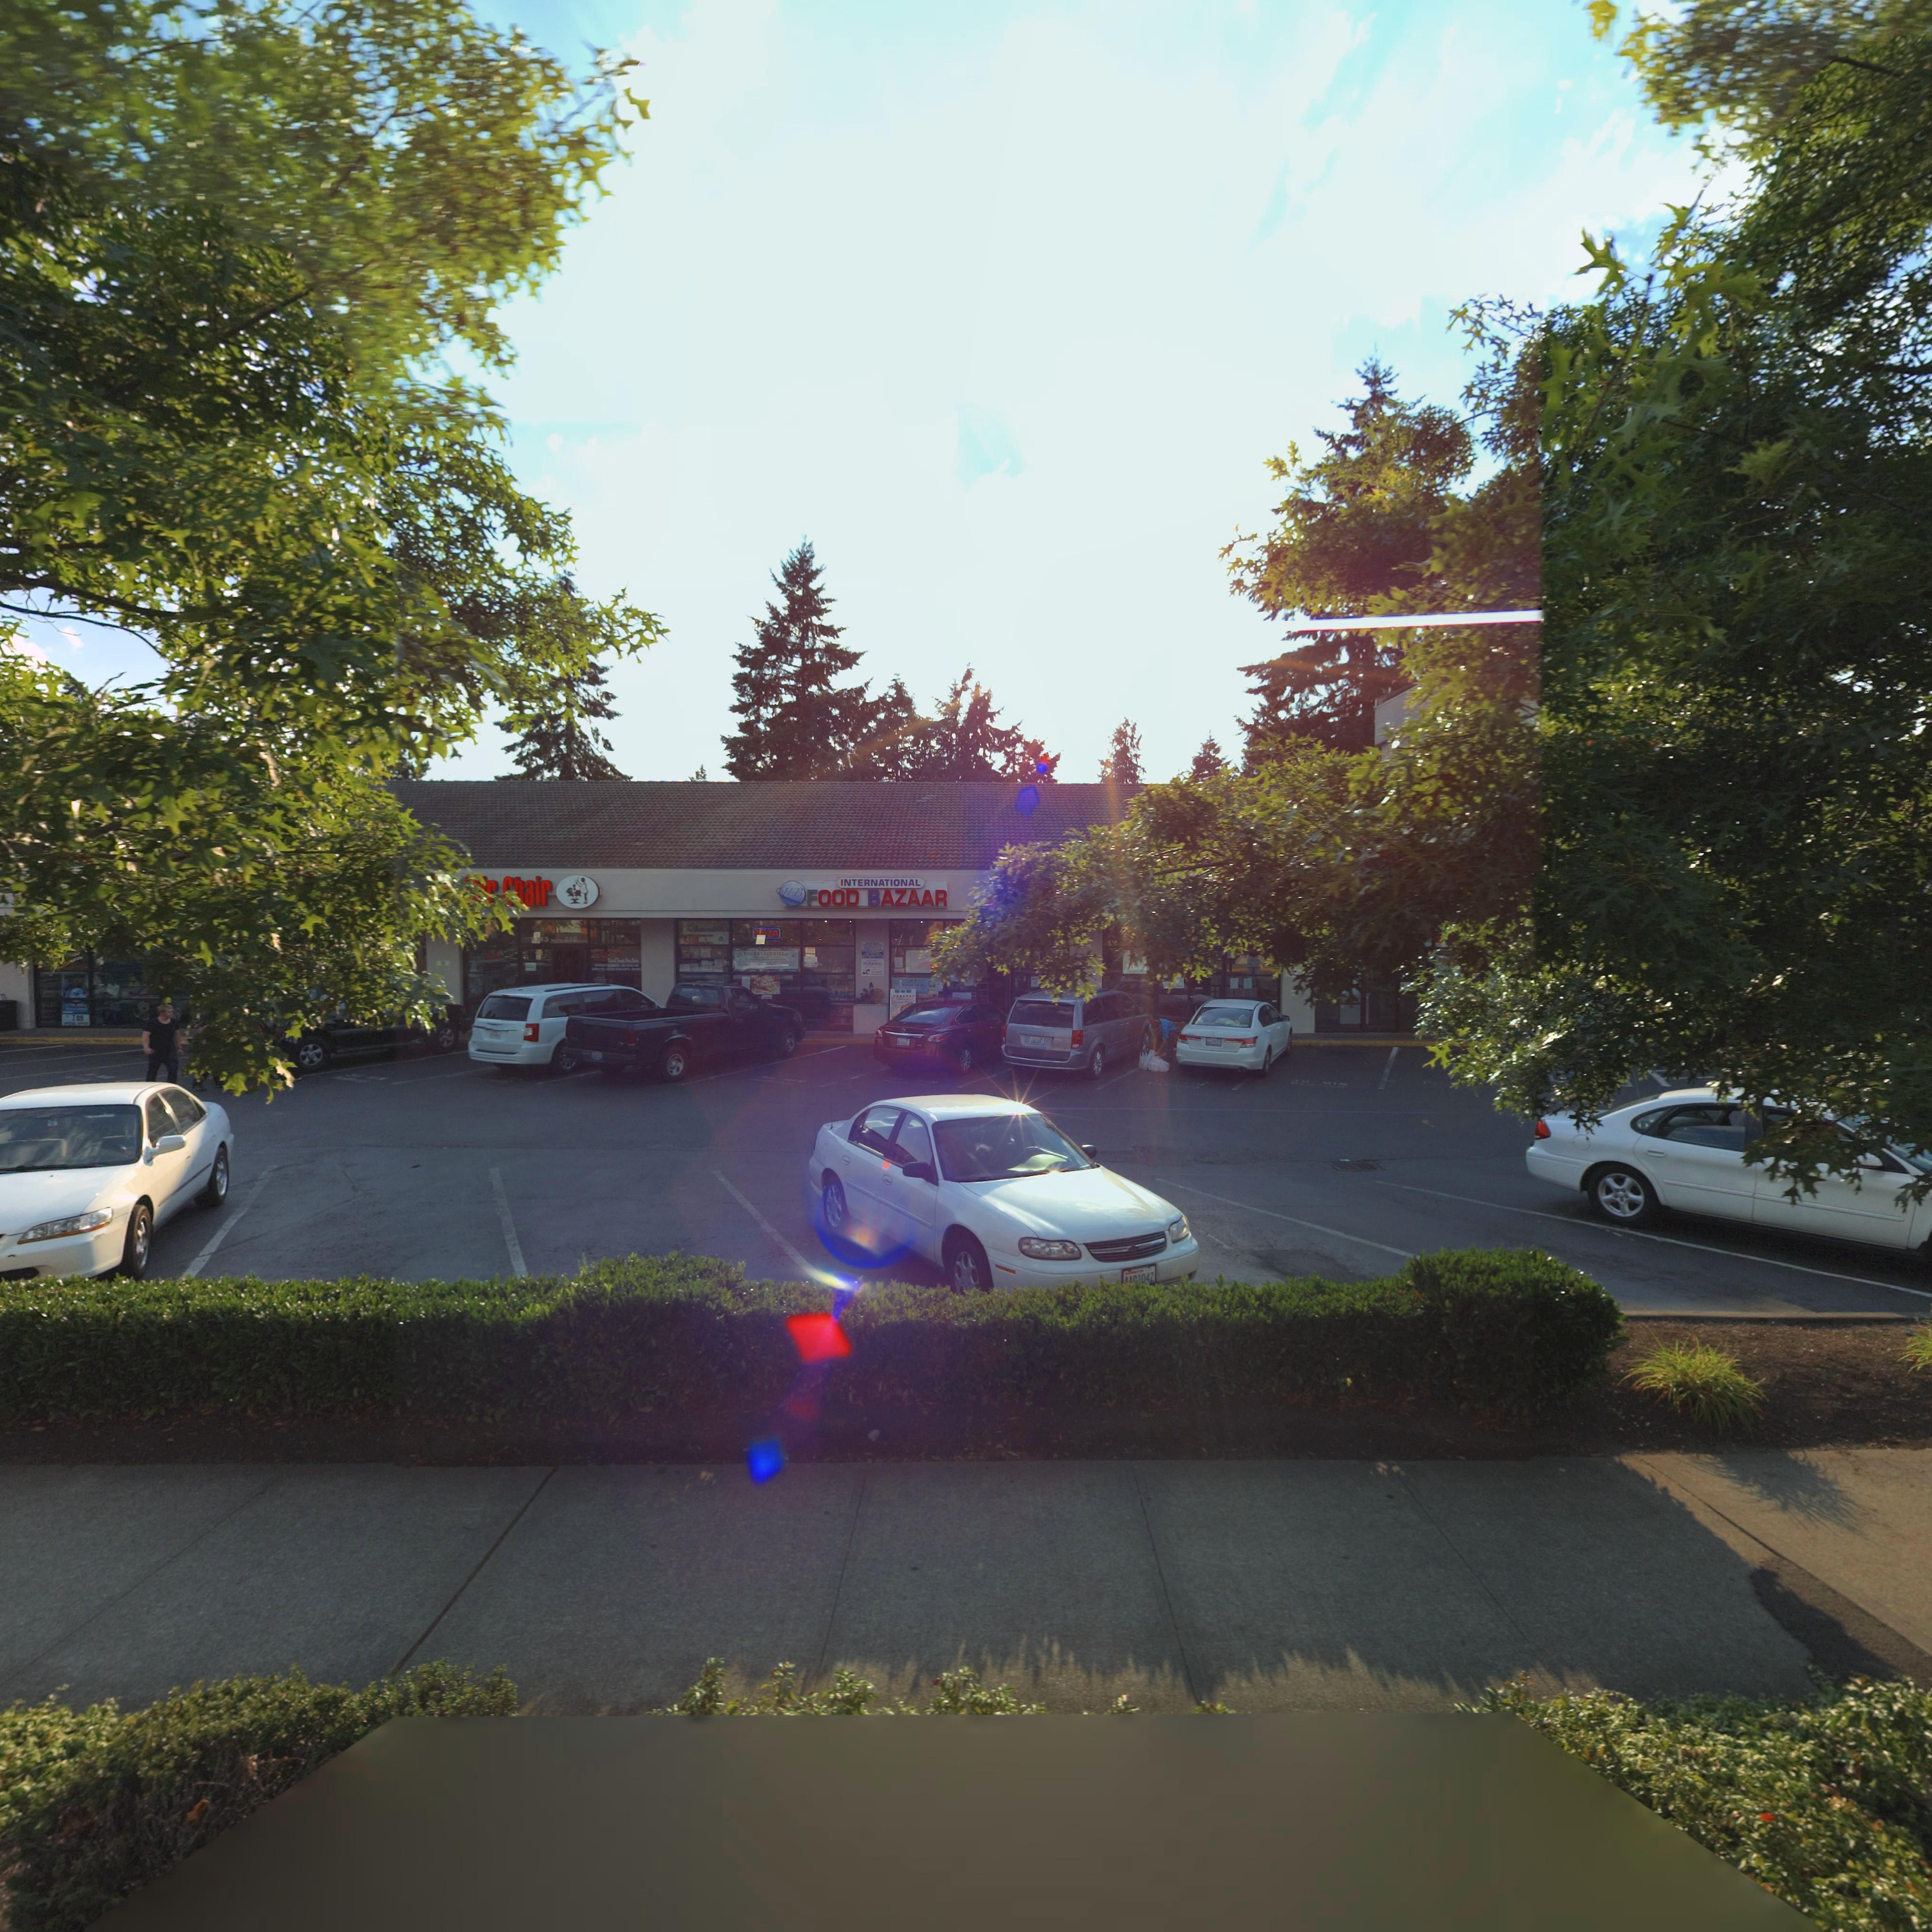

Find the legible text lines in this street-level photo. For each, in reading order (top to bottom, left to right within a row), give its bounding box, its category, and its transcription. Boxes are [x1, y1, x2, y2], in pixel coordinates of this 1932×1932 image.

[502, 876, 553, 907] BusinessName: **air
[806, 888, 947, 907] BusinessName: FOOD BAZAAR
[841, 879, 920, 886] BusinessName: INTERNATIONAL